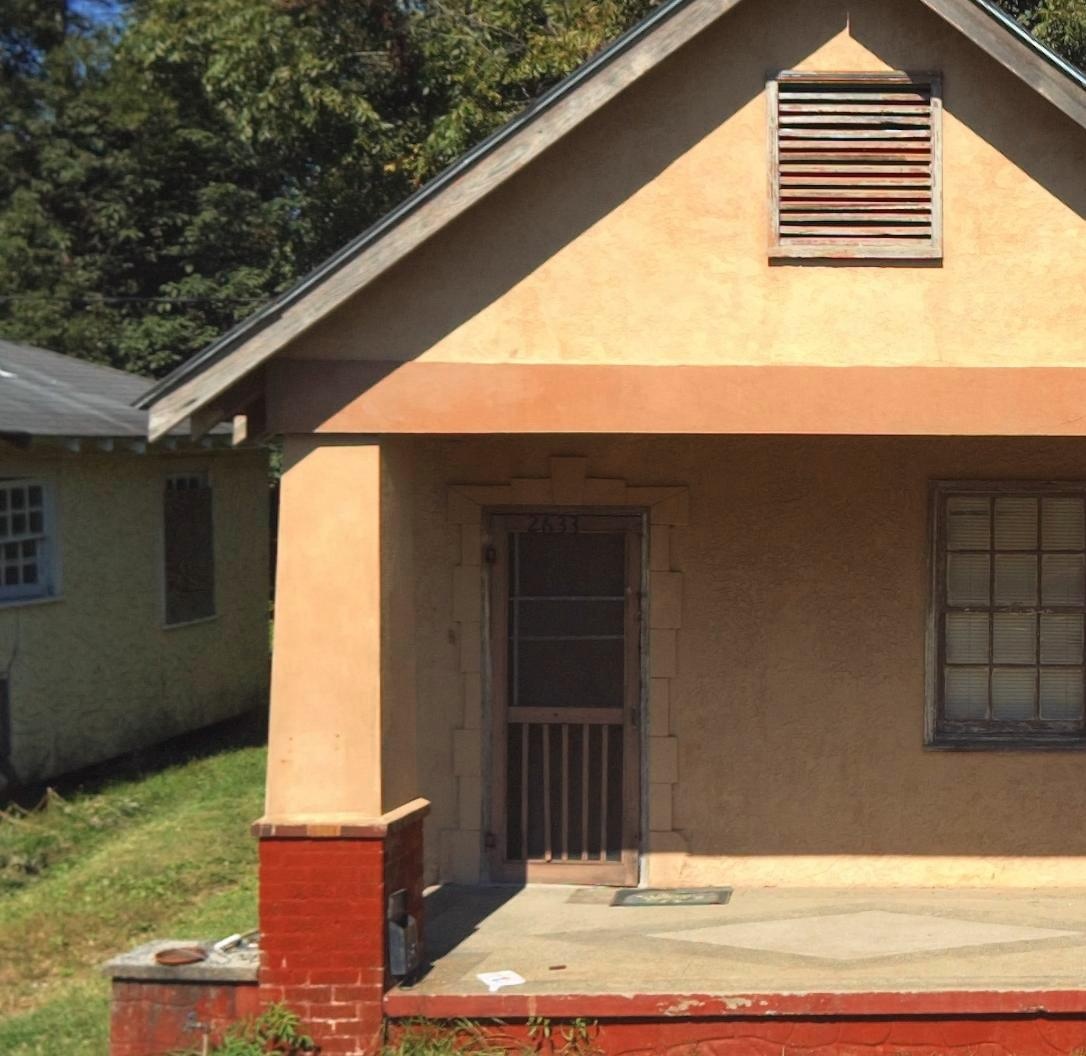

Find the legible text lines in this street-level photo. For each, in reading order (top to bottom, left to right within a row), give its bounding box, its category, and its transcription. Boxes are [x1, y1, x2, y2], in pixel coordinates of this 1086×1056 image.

[525, 512, 581, 538] StreetNumber: 2633